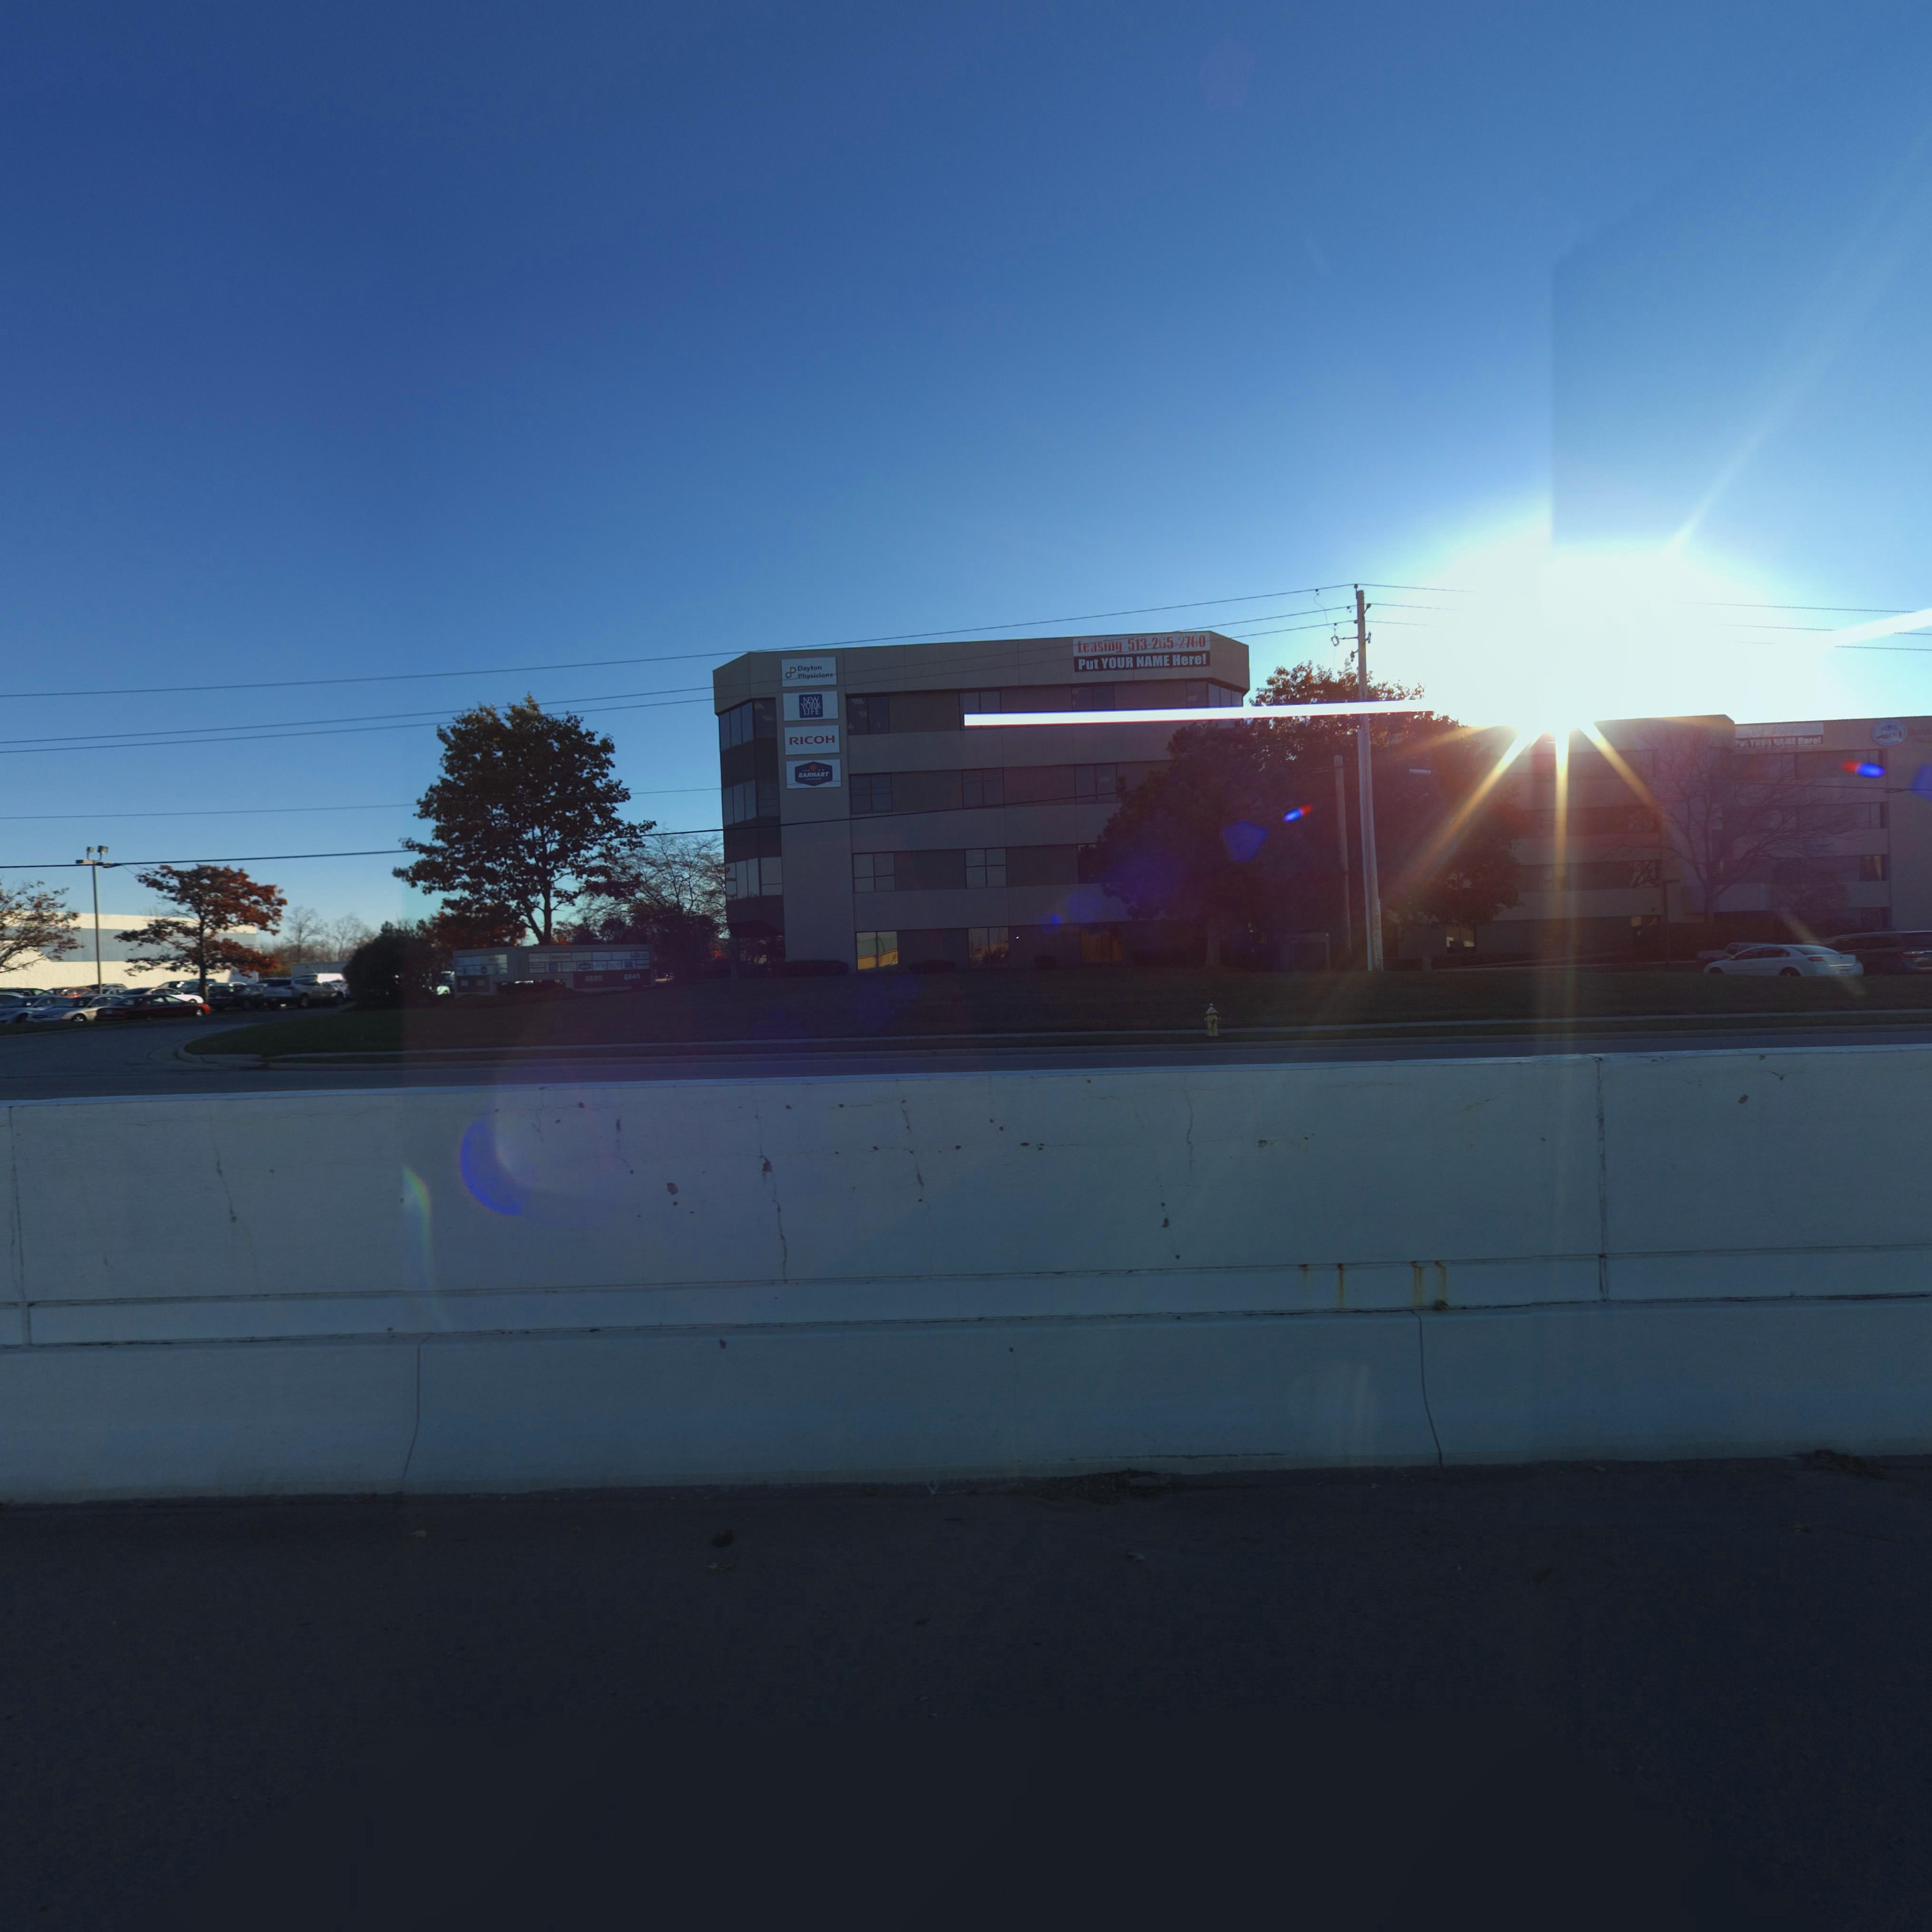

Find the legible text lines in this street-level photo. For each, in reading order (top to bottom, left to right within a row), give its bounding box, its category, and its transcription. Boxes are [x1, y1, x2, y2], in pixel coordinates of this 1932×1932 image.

[1076, 634, 1207, 656] None: Leasing 513-265-2700
[1076, 651, 1210, 672] None: Put YOUR NAME Here
[796, 665, 822, 672] None: Dayton
[797, 672, 833, 679] None: Physicians
[802, 696, 820, 703] None: NEW
[800, 701, 823, 709] None: YORK
[802, 707, 821, 716] None: LIFE
[788, 734, 836, 746] None: RICOH
[797, 770, 830, 779] None: EARHART
[584, 974, 604, 984] StreetNumber: 6*80
[622, 972, 642, 982] StreetNumber: 6***